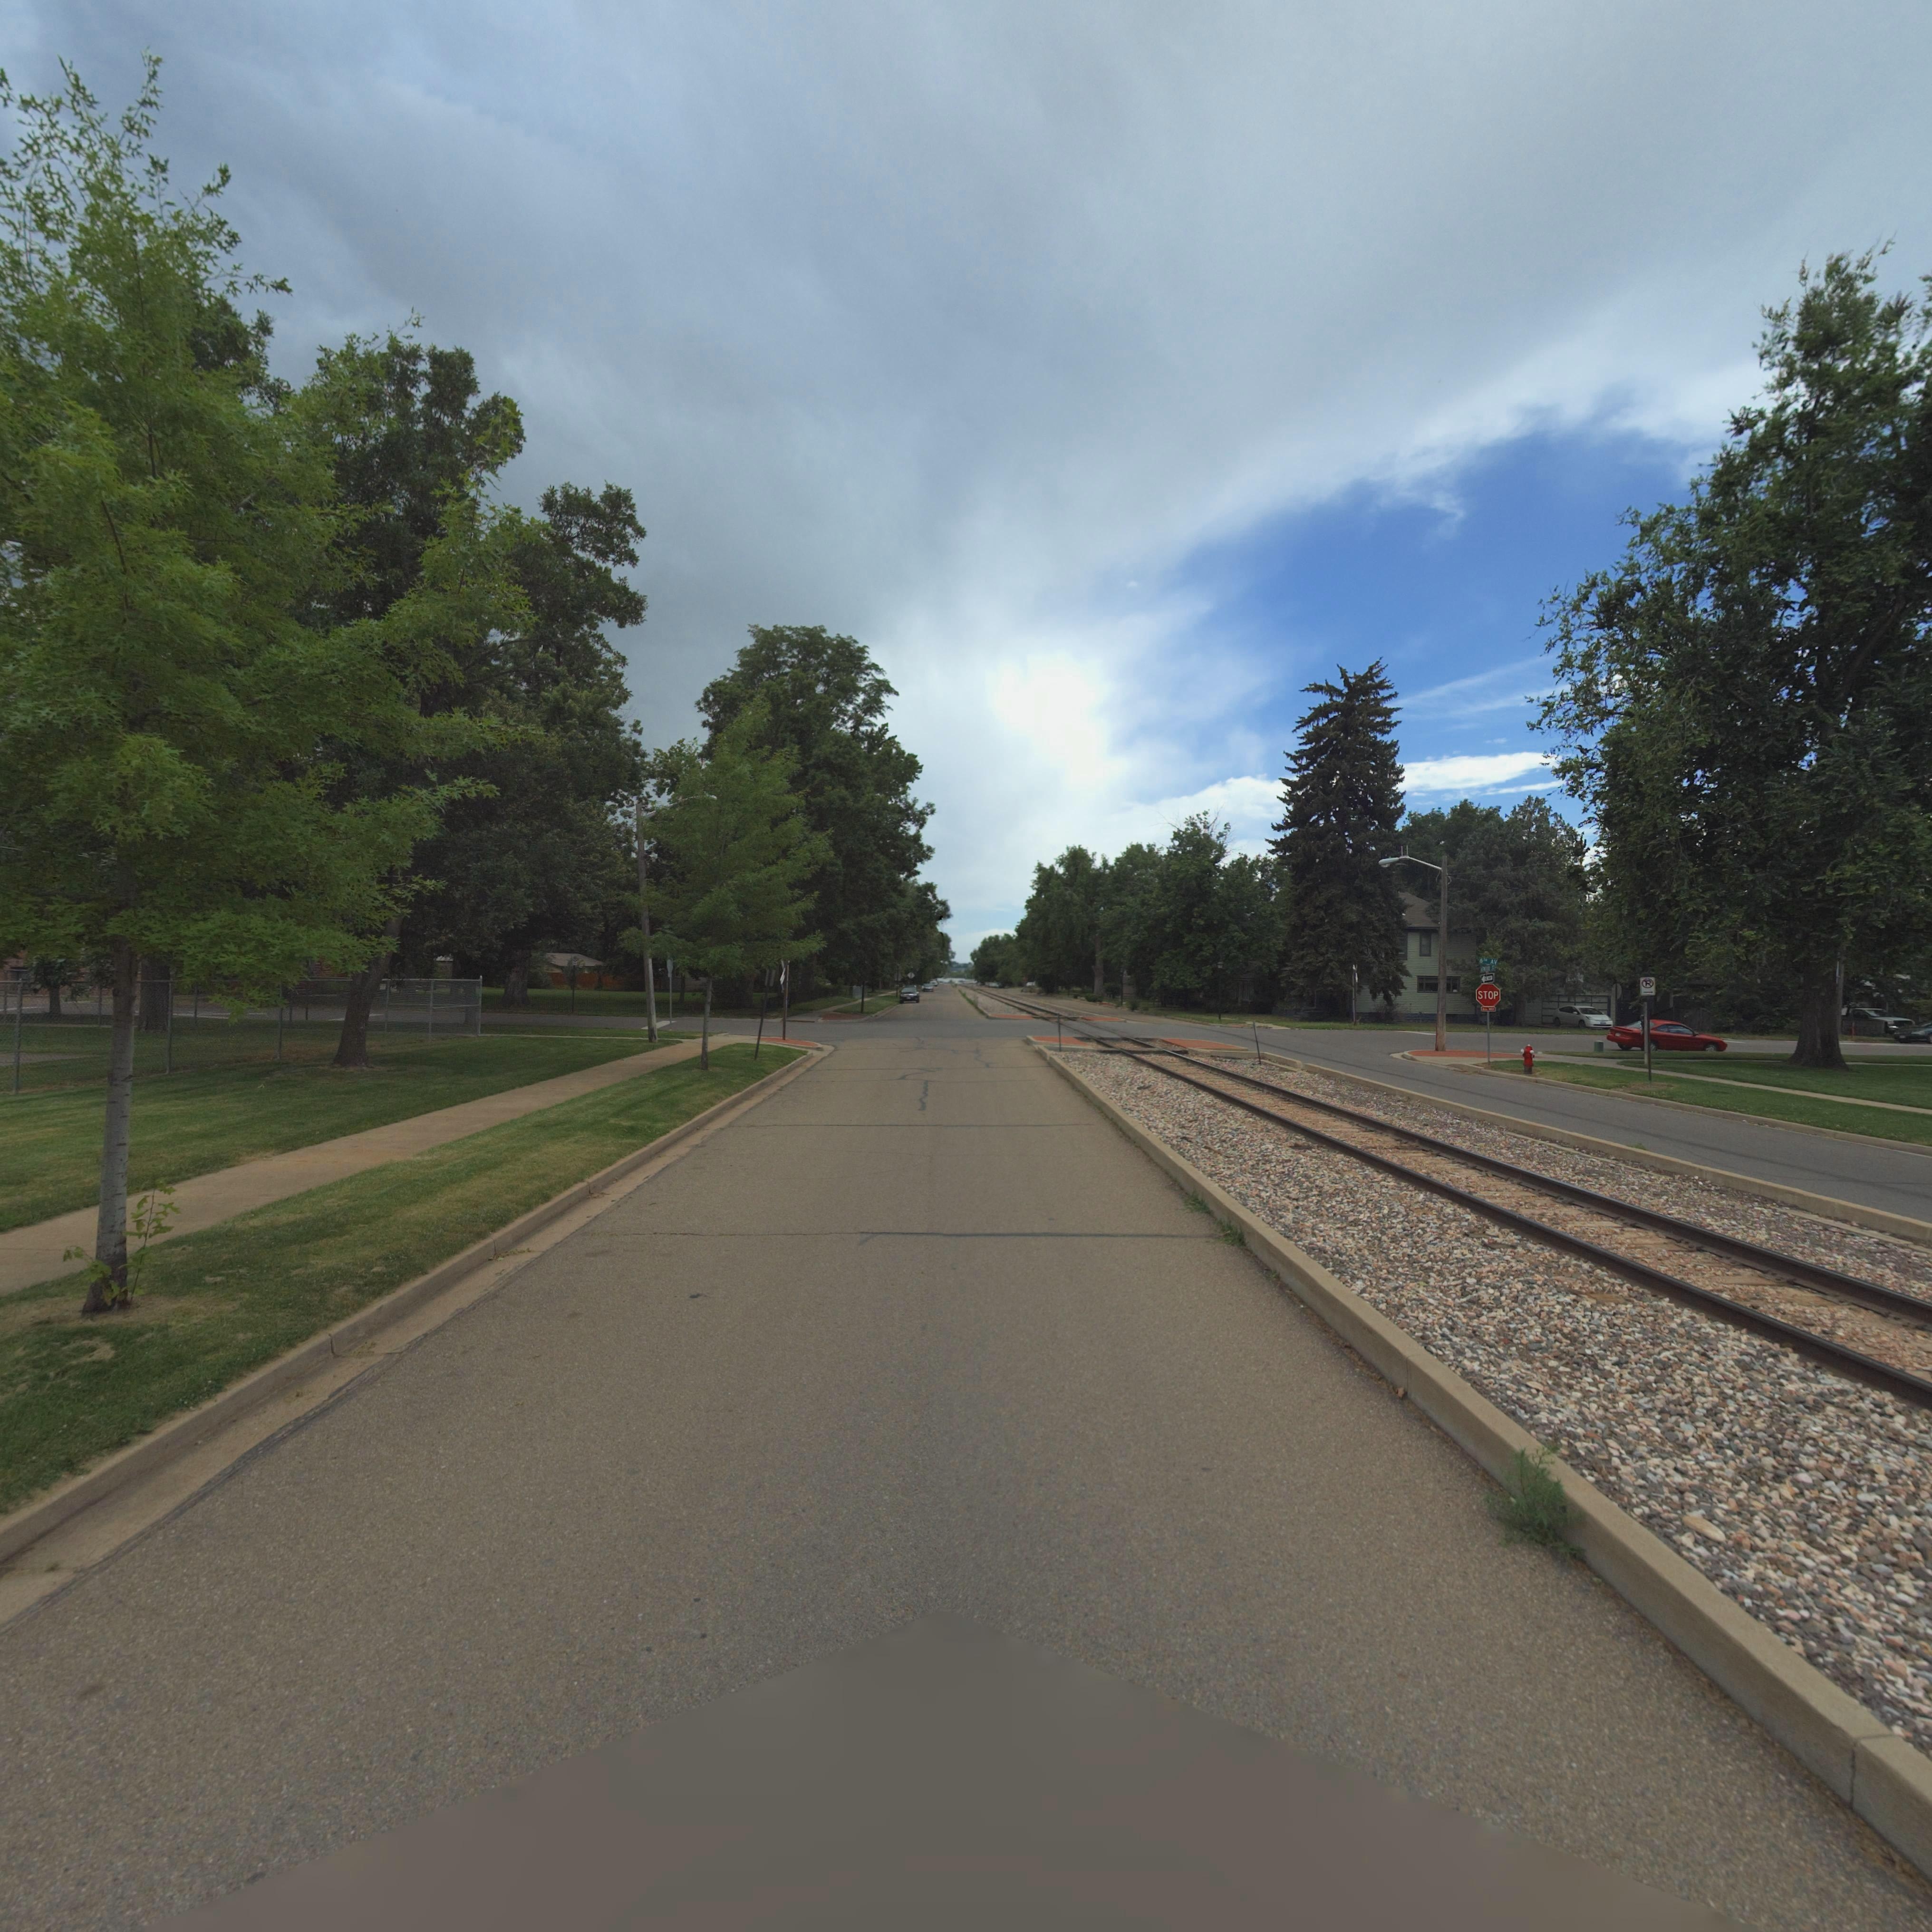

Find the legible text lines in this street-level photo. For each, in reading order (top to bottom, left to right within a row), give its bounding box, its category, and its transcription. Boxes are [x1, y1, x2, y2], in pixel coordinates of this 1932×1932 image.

[1479, 957, 1498, 965] StreetName: 6TH AV